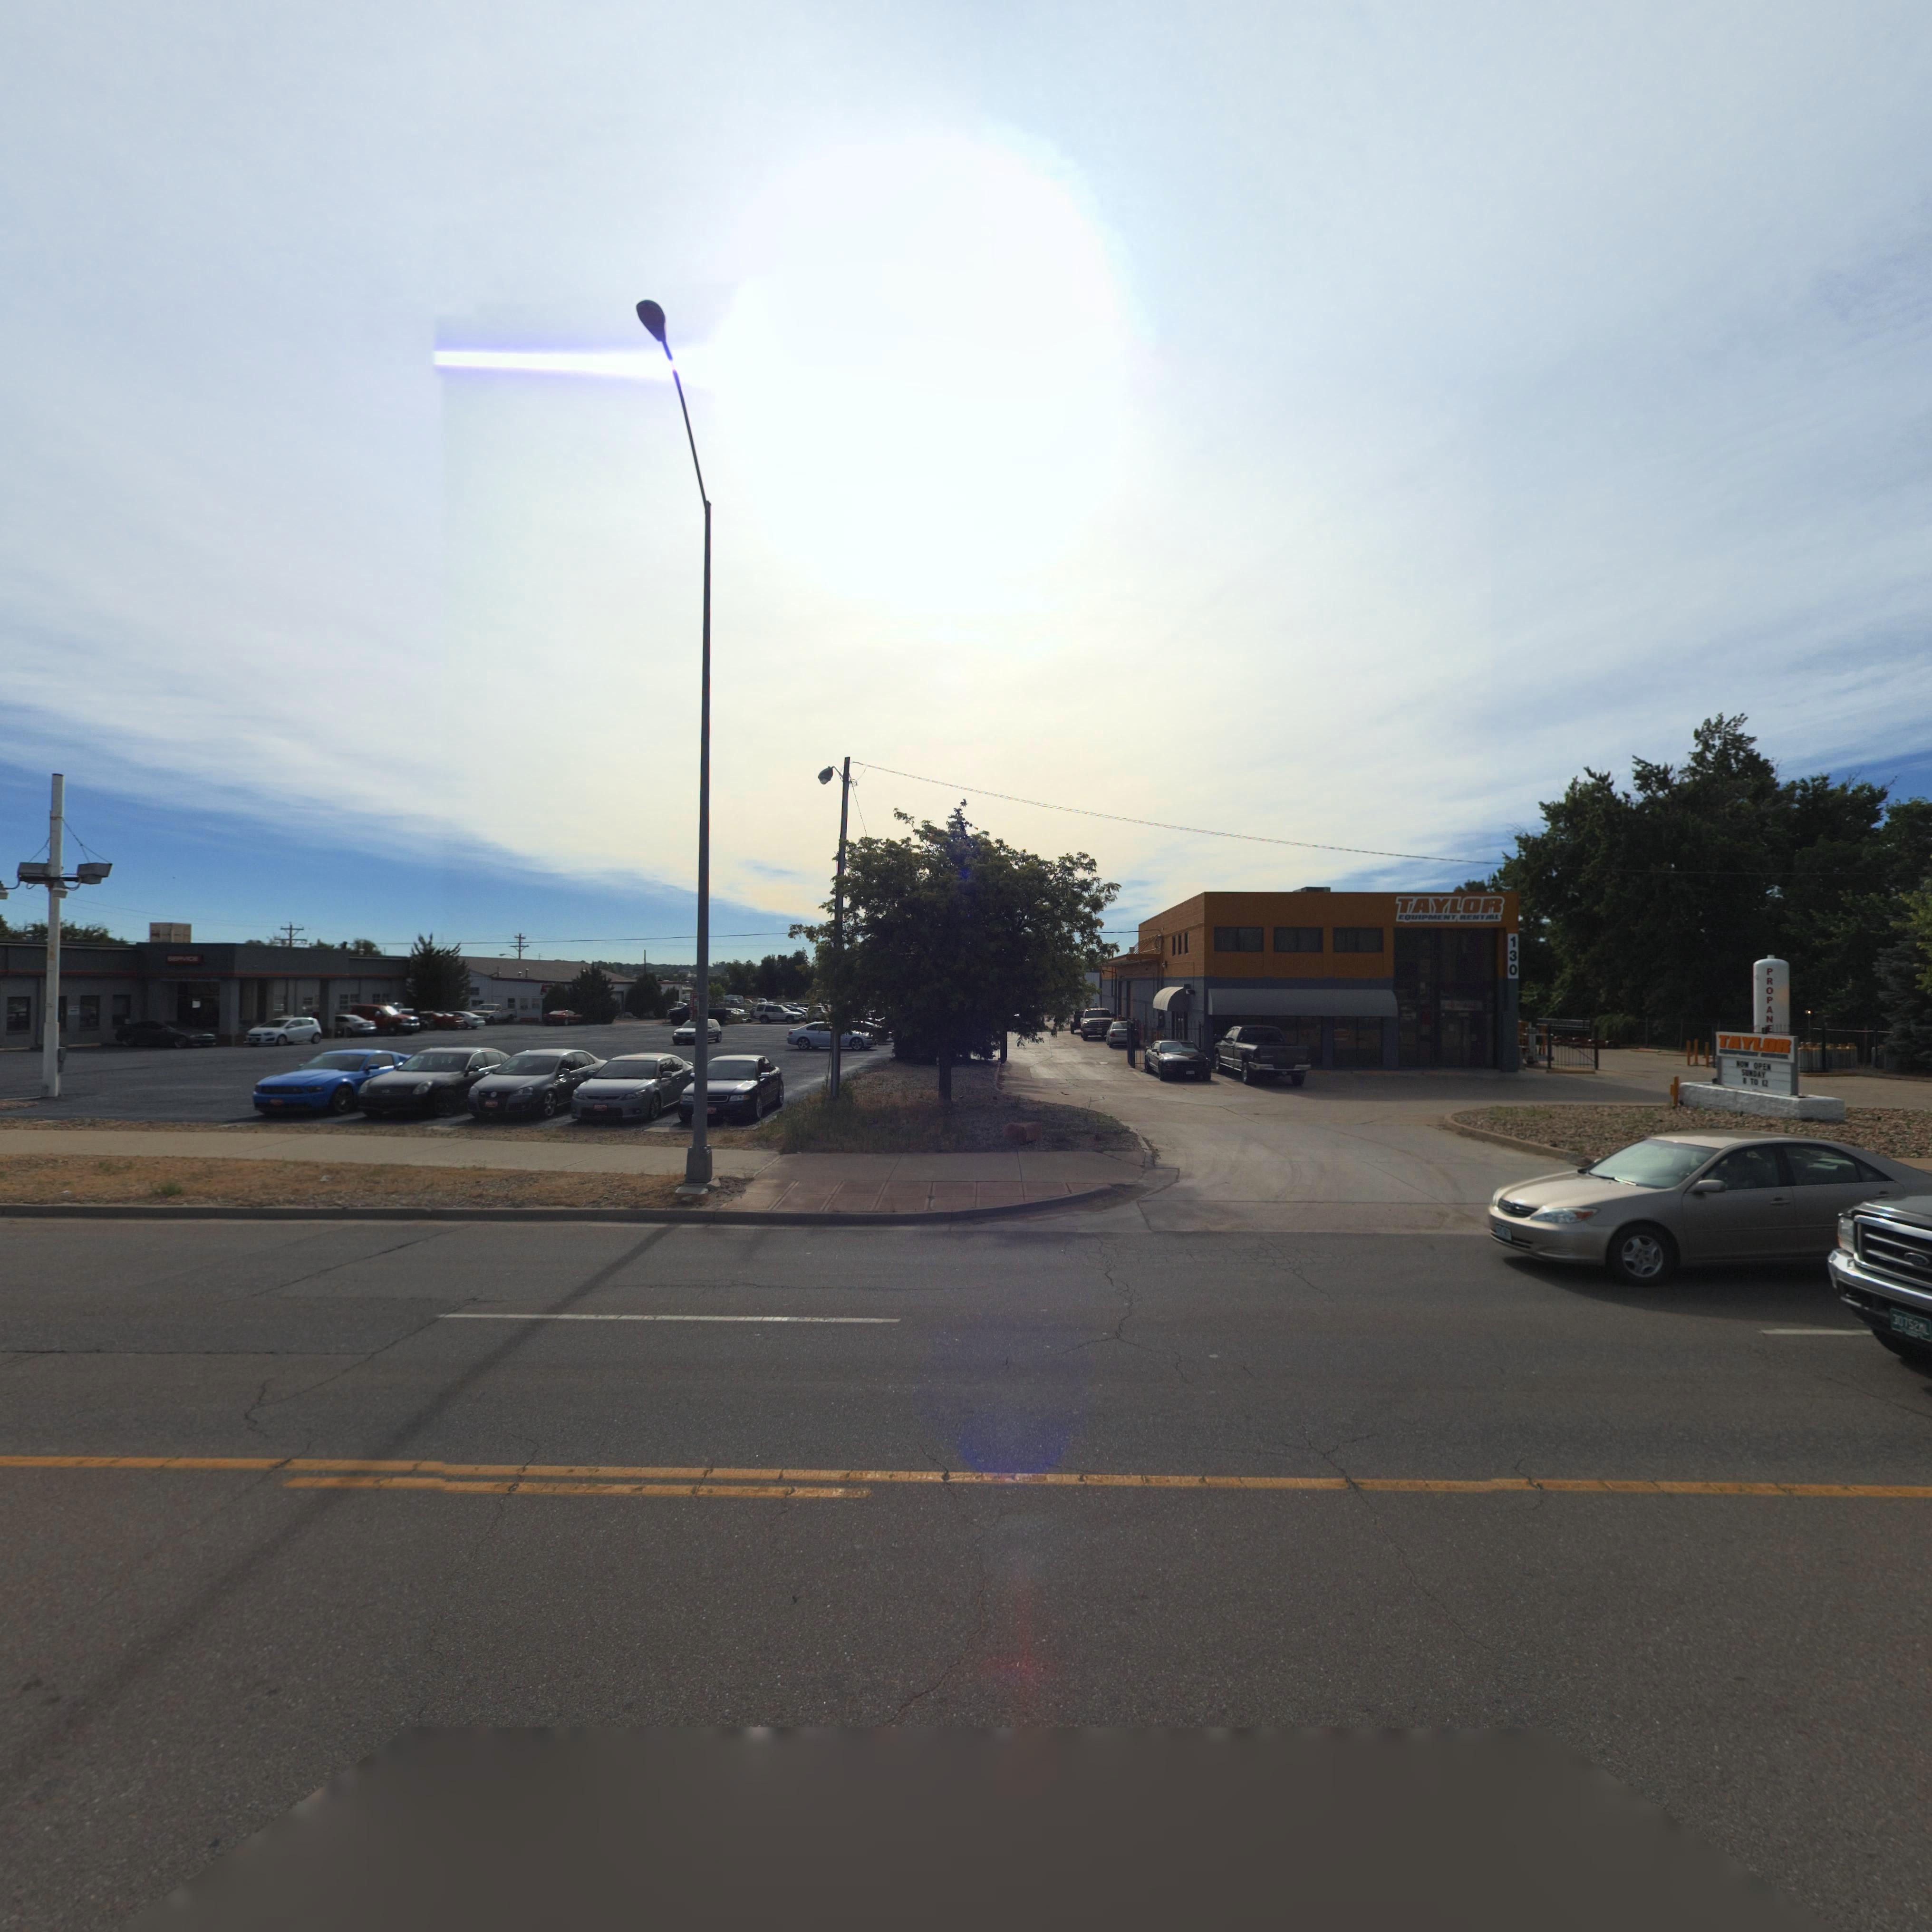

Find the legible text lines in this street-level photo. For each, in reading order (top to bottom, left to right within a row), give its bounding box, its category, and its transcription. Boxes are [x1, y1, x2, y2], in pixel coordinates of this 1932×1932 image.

[1397, 897, 1503, 913] BusinessName: TAYLOR
[1398, 914, 1499, 920] BusinessName: EQUIPMENT RENTA*L
[1509, 936, 1517, 976] StreetNumber: 130
[1718, 1034, 1791, 1054] BusinessName: TAYLOR